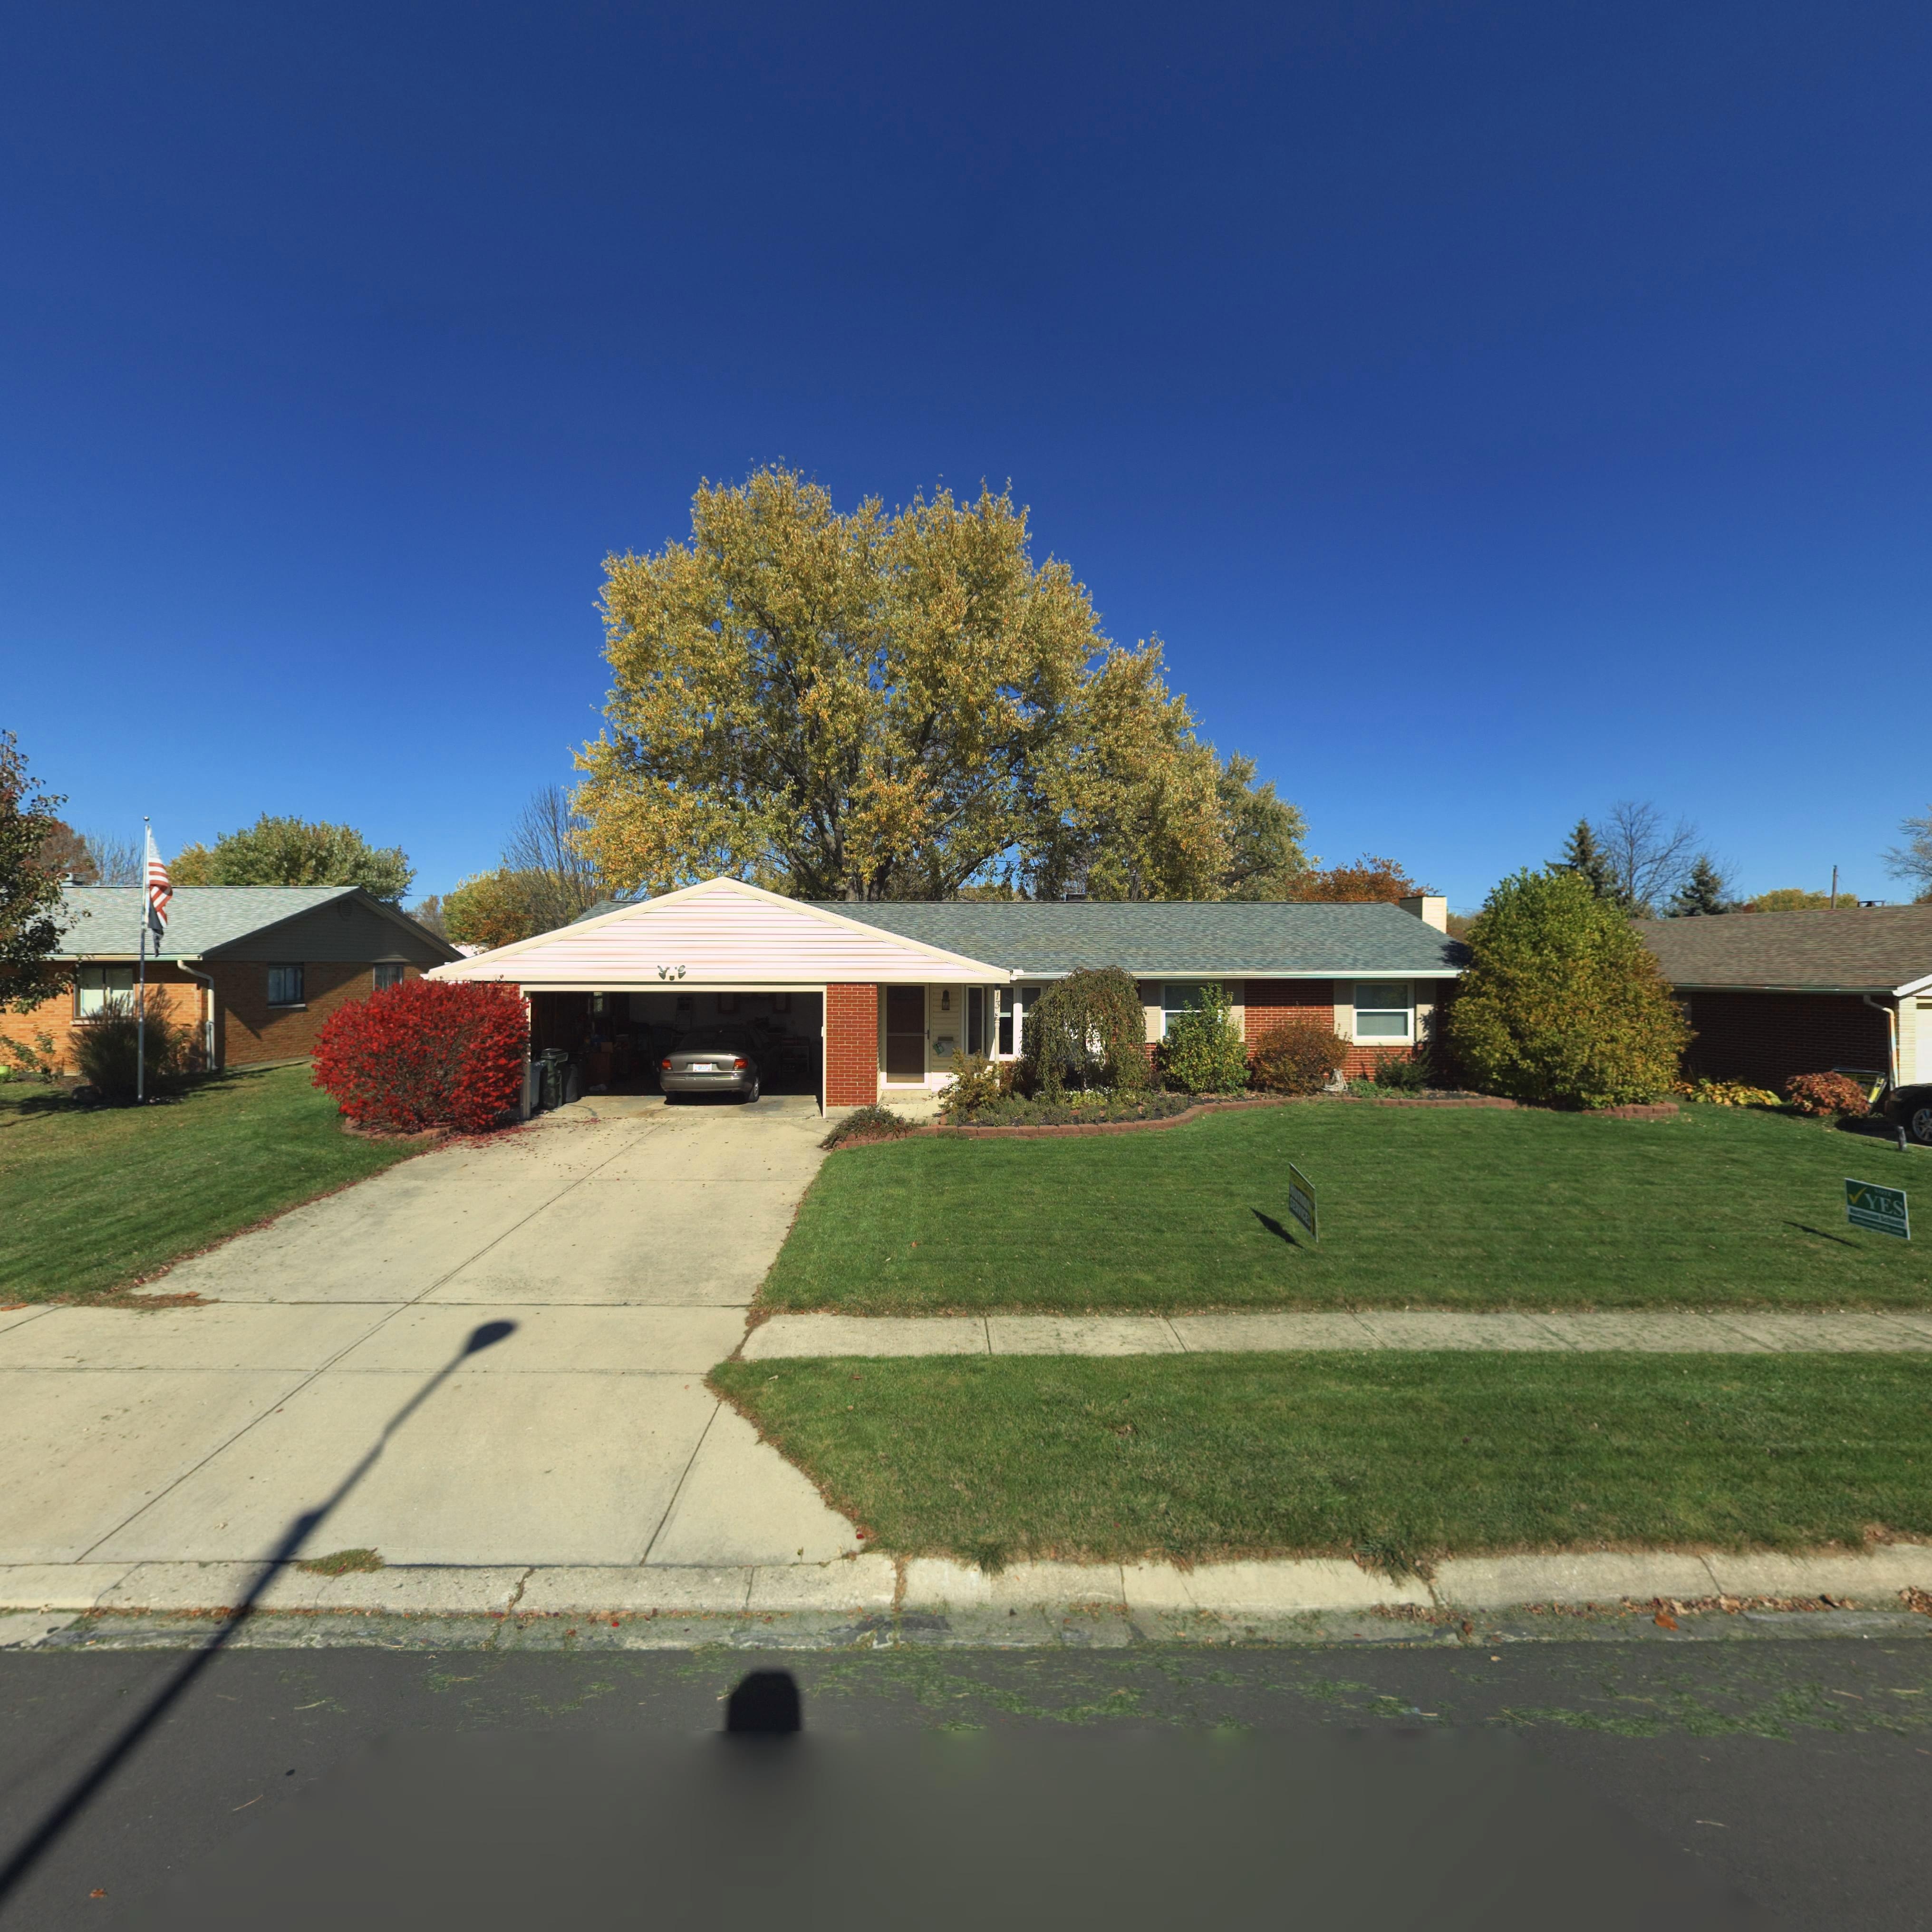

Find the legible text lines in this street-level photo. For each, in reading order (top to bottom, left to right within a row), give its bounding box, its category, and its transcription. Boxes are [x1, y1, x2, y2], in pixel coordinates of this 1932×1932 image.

[994, 991, 1000, 1009] StreetNumber: 13